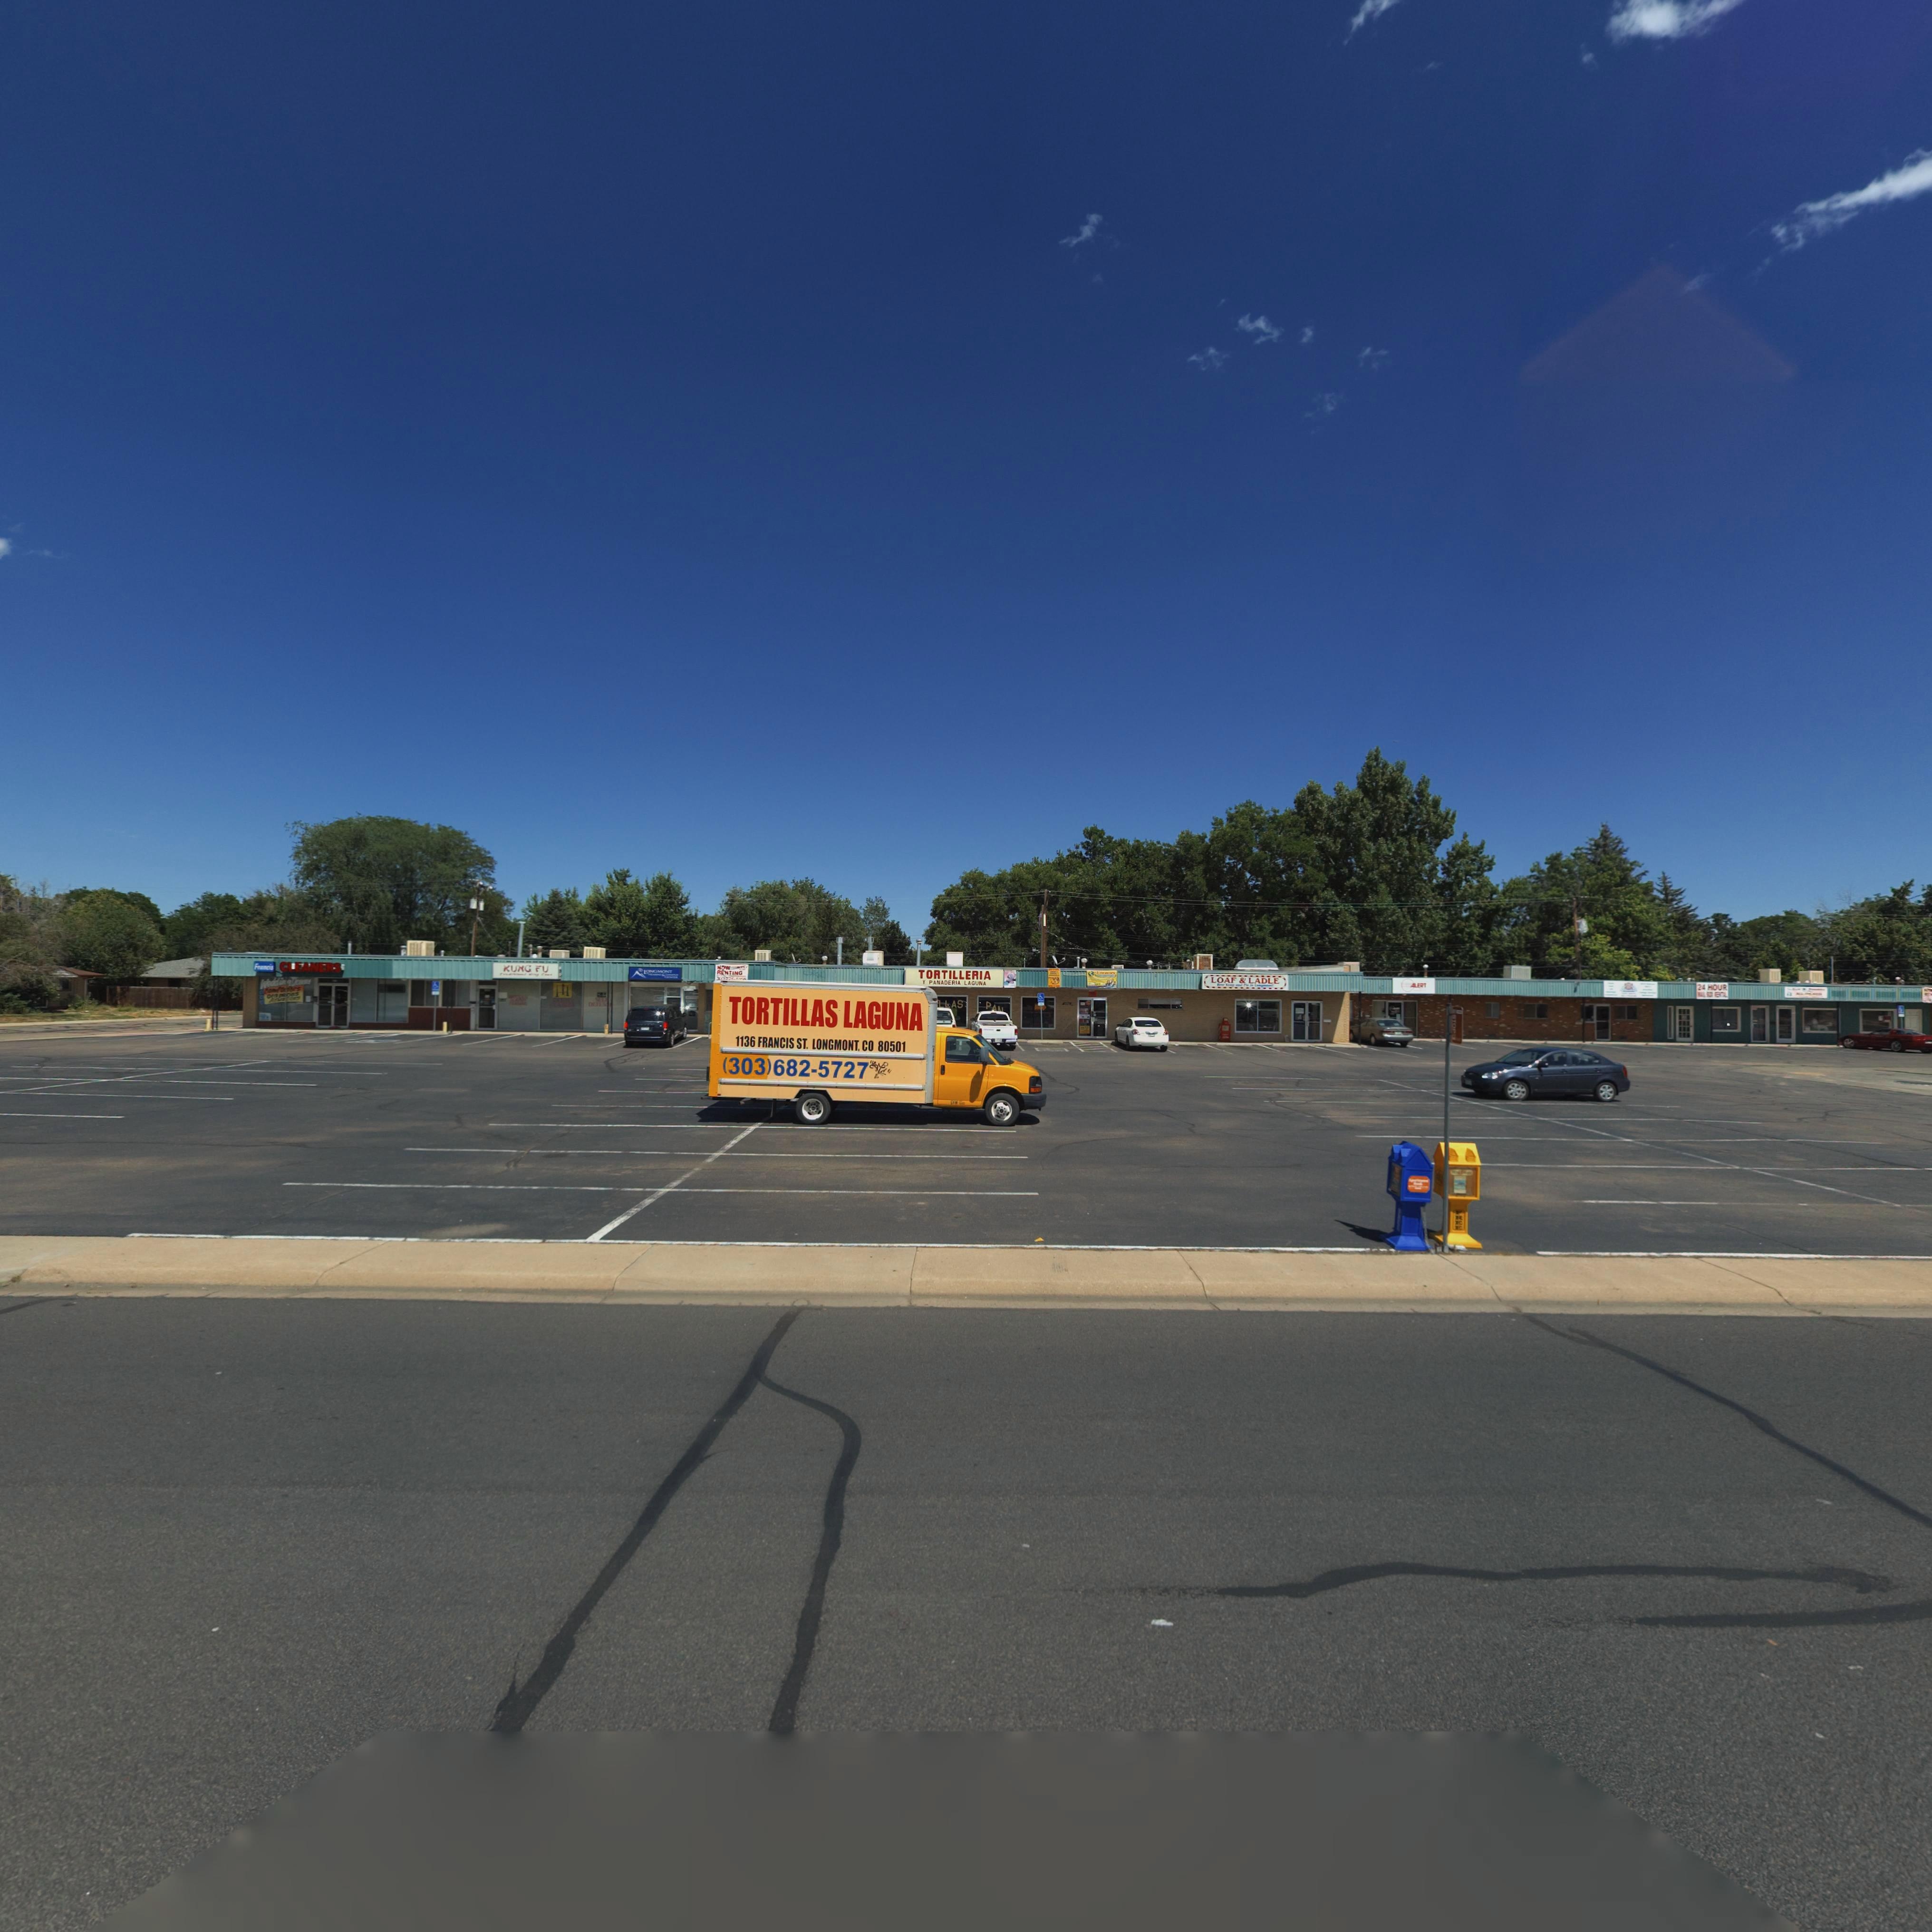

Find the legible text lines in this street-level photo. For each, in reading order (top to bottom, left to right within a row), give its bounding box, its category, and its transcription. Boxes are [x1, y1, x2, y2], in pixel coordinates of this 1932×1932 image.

[254, 963, 273, 970] BusinessName: Francis
[280, 961, 341, 973] BusinessName: CLEANERS
[503, 964, 549, 973] BusinessName: KUNG FU
[1211, 976, 1279, 984] BusinessName: LOAF * LADLE
[1409, 982, 1427, 988] BusinessName: ALERT
[1698, 984, 1727, 990] BusinessName: 24 HOUR
[1697, 991, 1728, 998] BusinessName: *** ** *EN*AL